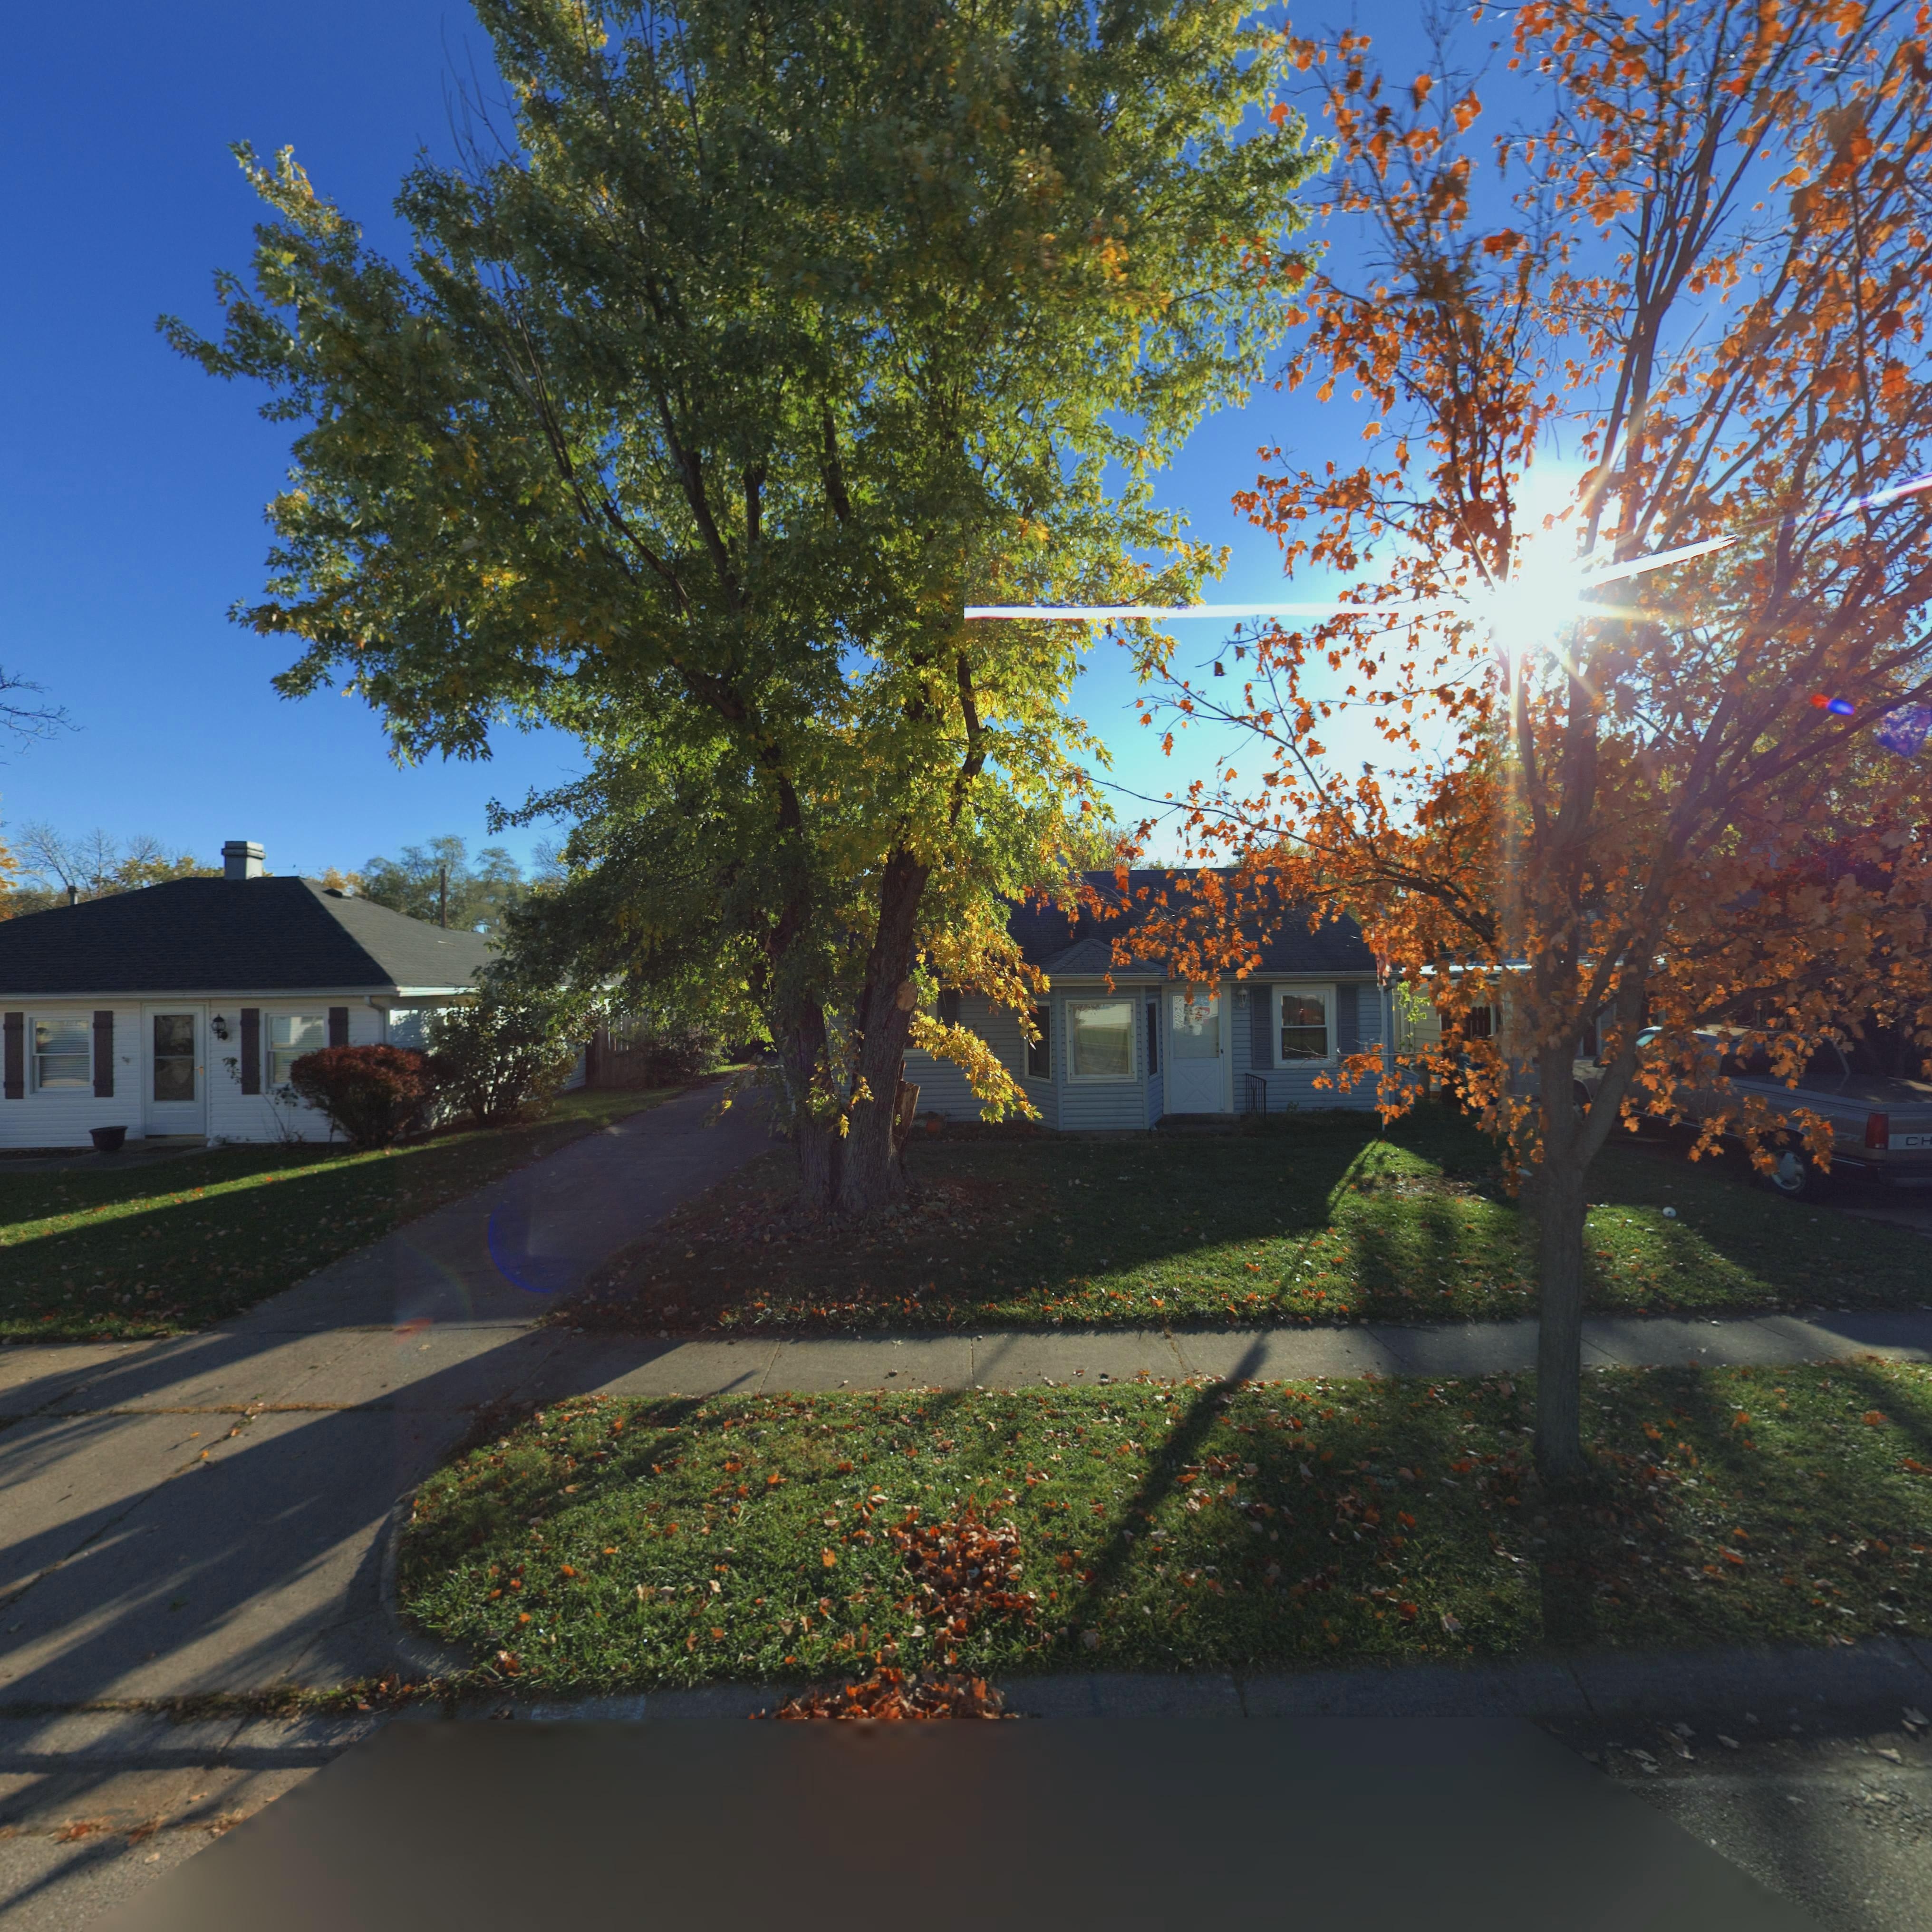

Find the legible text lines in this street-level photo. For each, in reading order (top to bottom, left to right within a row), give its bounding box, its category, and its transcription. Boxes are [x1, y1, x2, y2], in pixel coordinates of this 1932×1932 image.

[971, 1022, 999, 1051] StreetNumber: 5136